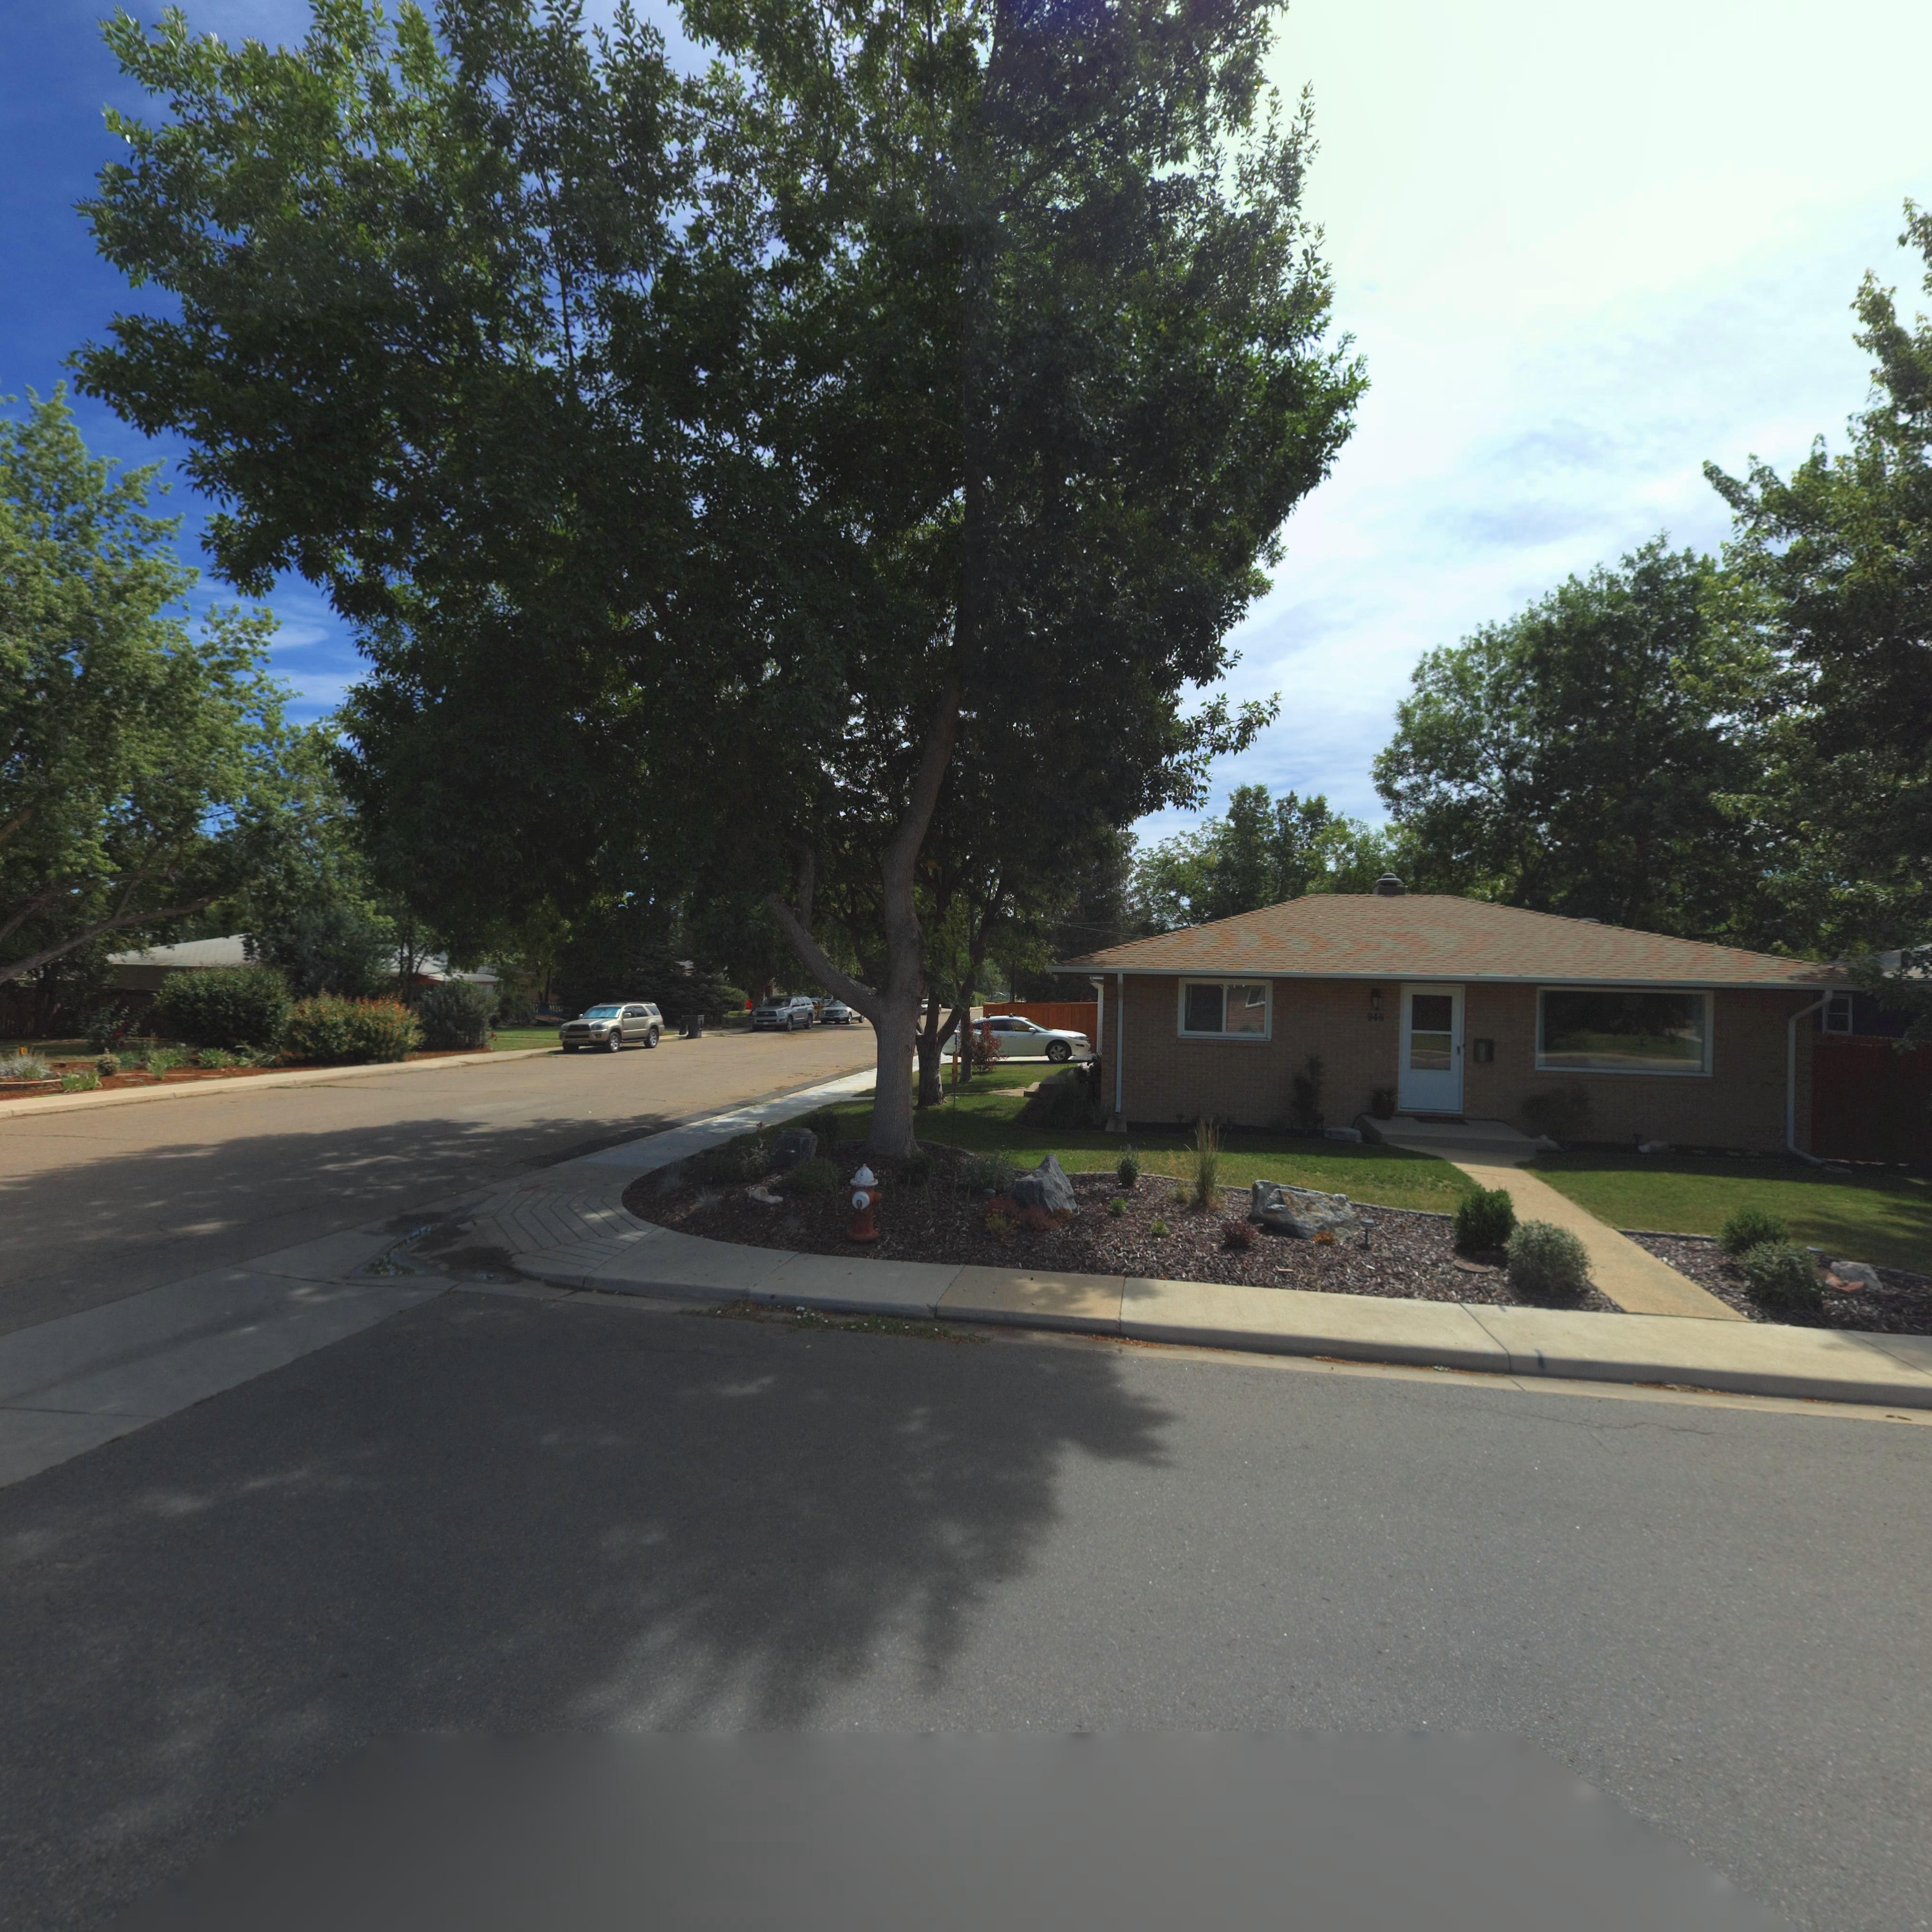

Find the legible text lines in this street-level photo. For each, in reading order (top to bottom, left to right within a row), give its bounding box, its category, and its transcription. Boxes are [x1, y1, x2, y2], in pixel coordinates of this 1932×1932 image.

[1367, 1012, 1384, 1021] StreetNumber: 946